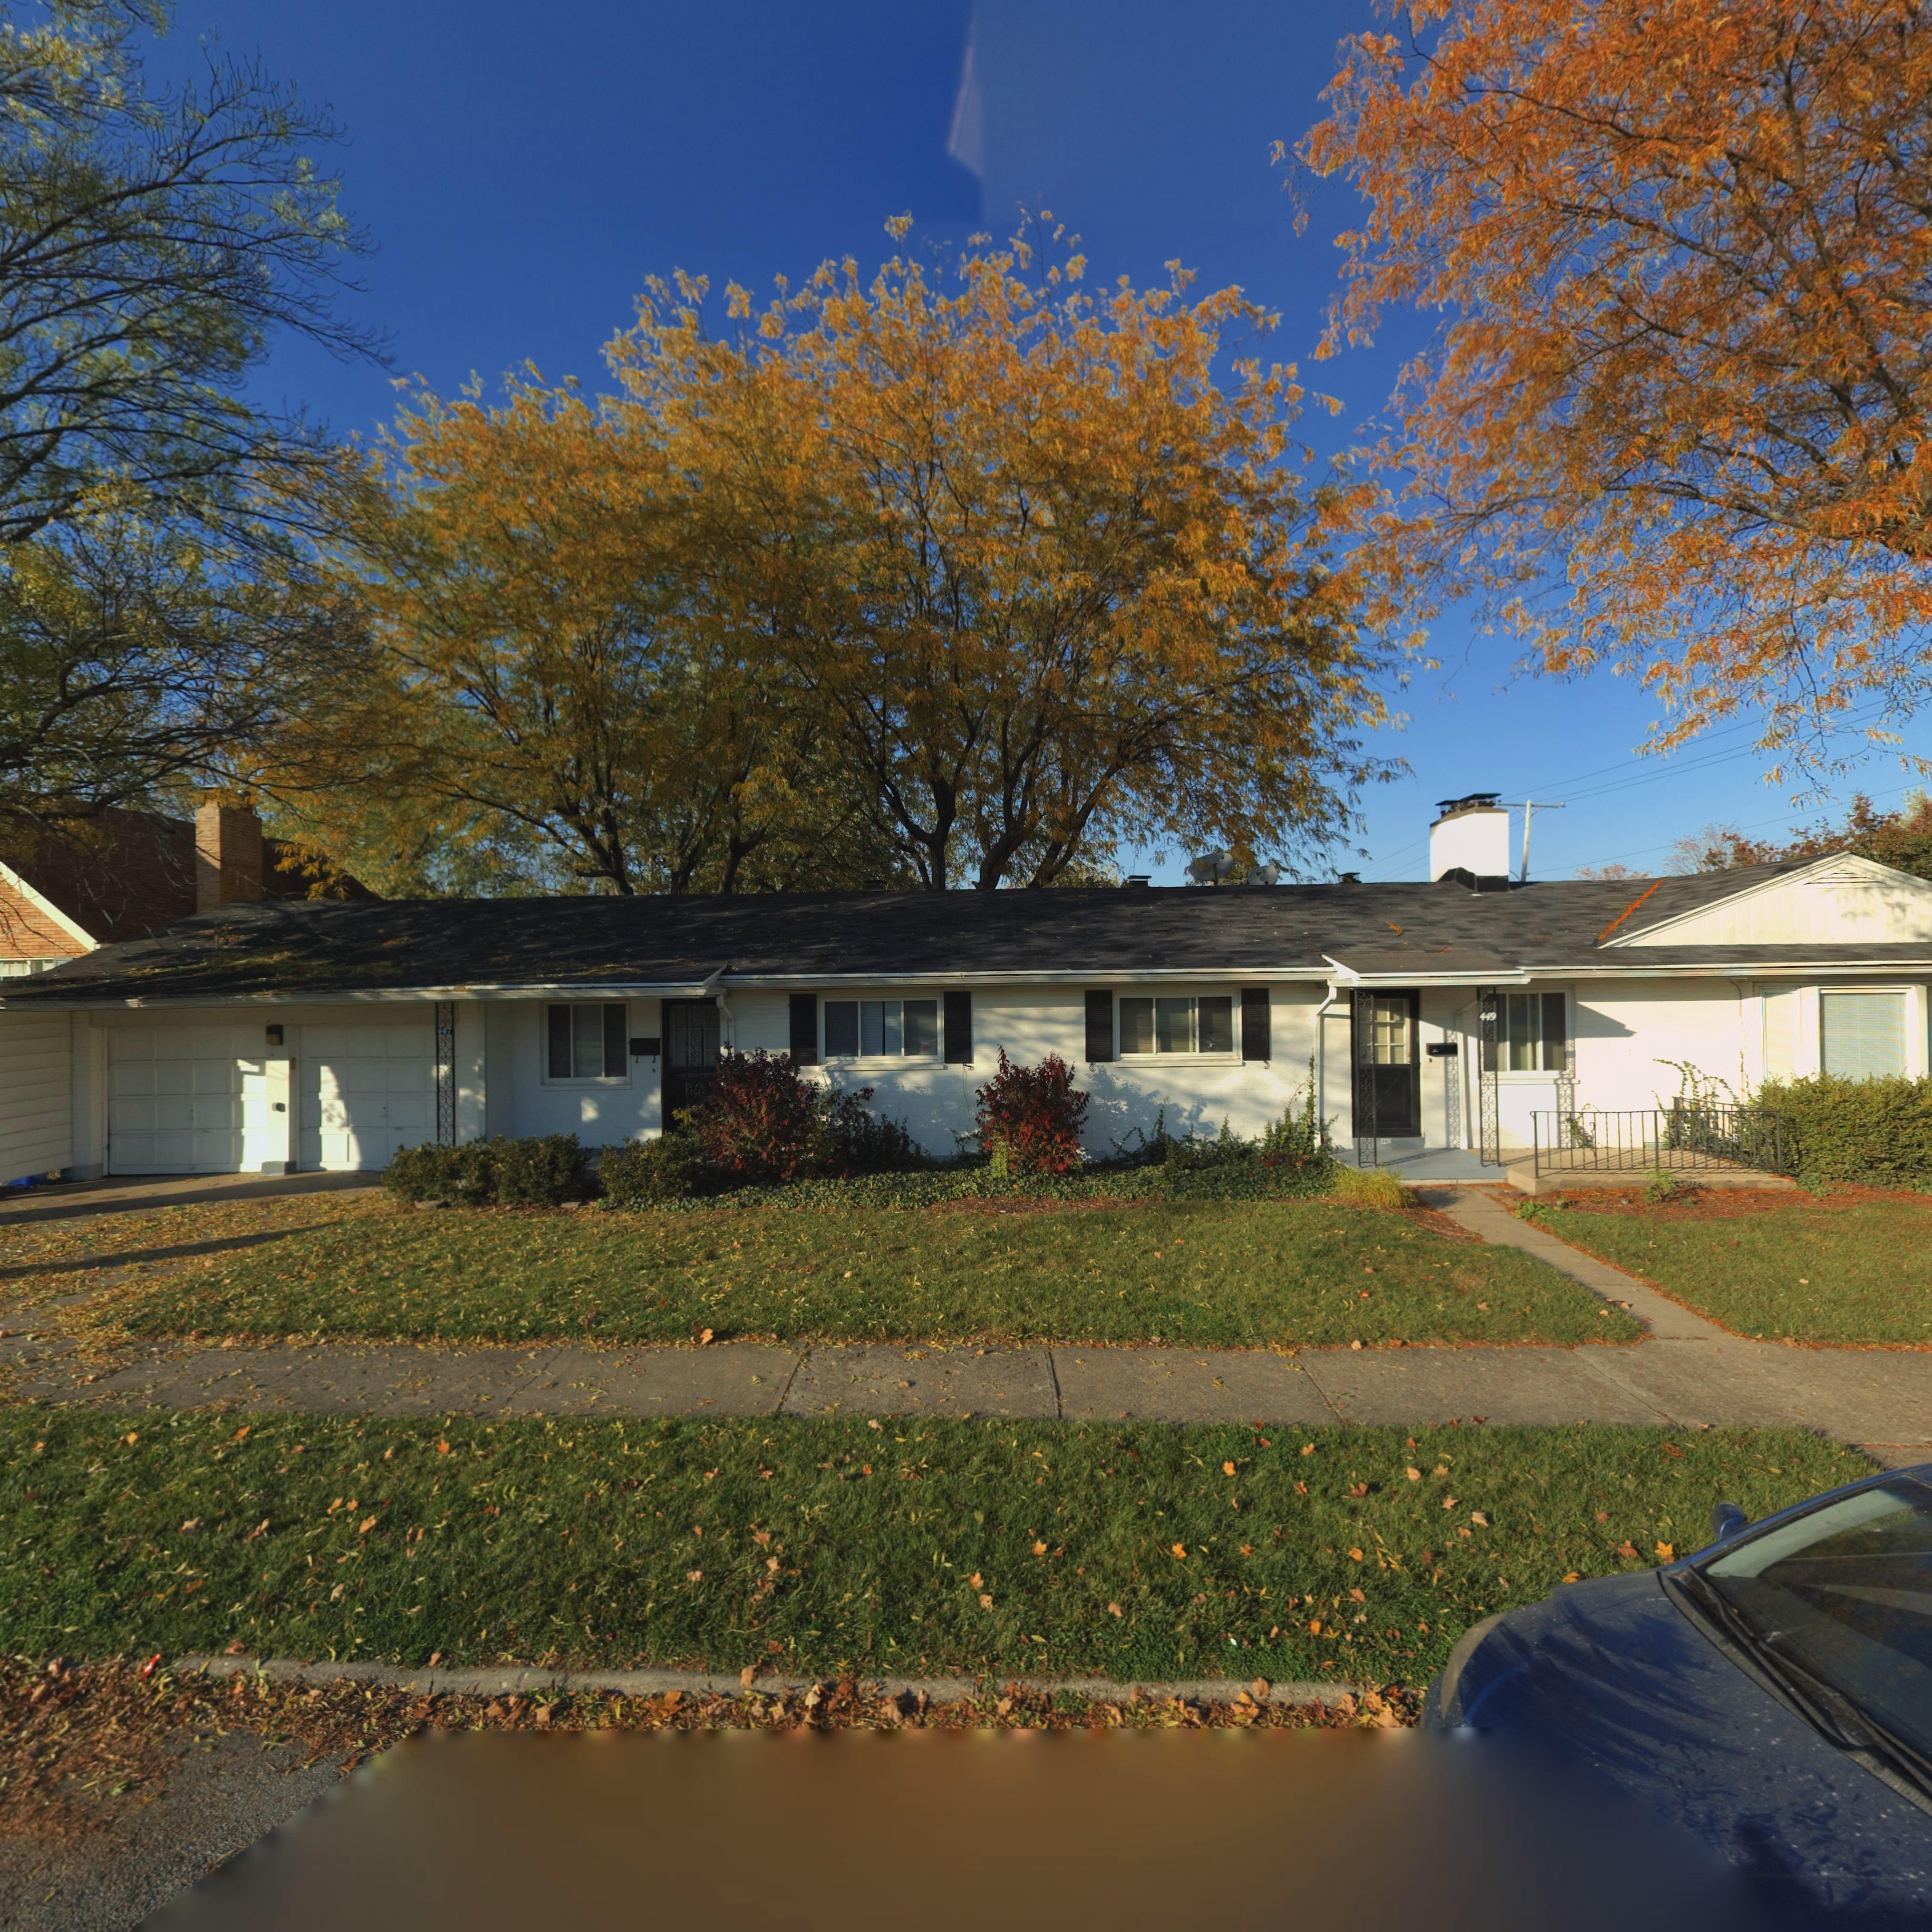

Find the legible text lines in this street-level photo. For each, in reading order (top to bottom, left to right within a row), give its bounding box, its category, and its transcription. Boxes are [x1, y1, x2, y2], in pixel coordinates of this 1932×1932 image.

[1478, 1011, 1497, 1022] StreetNumber: 449
[436, 1027, 452, 1034] StreetNumber: 447